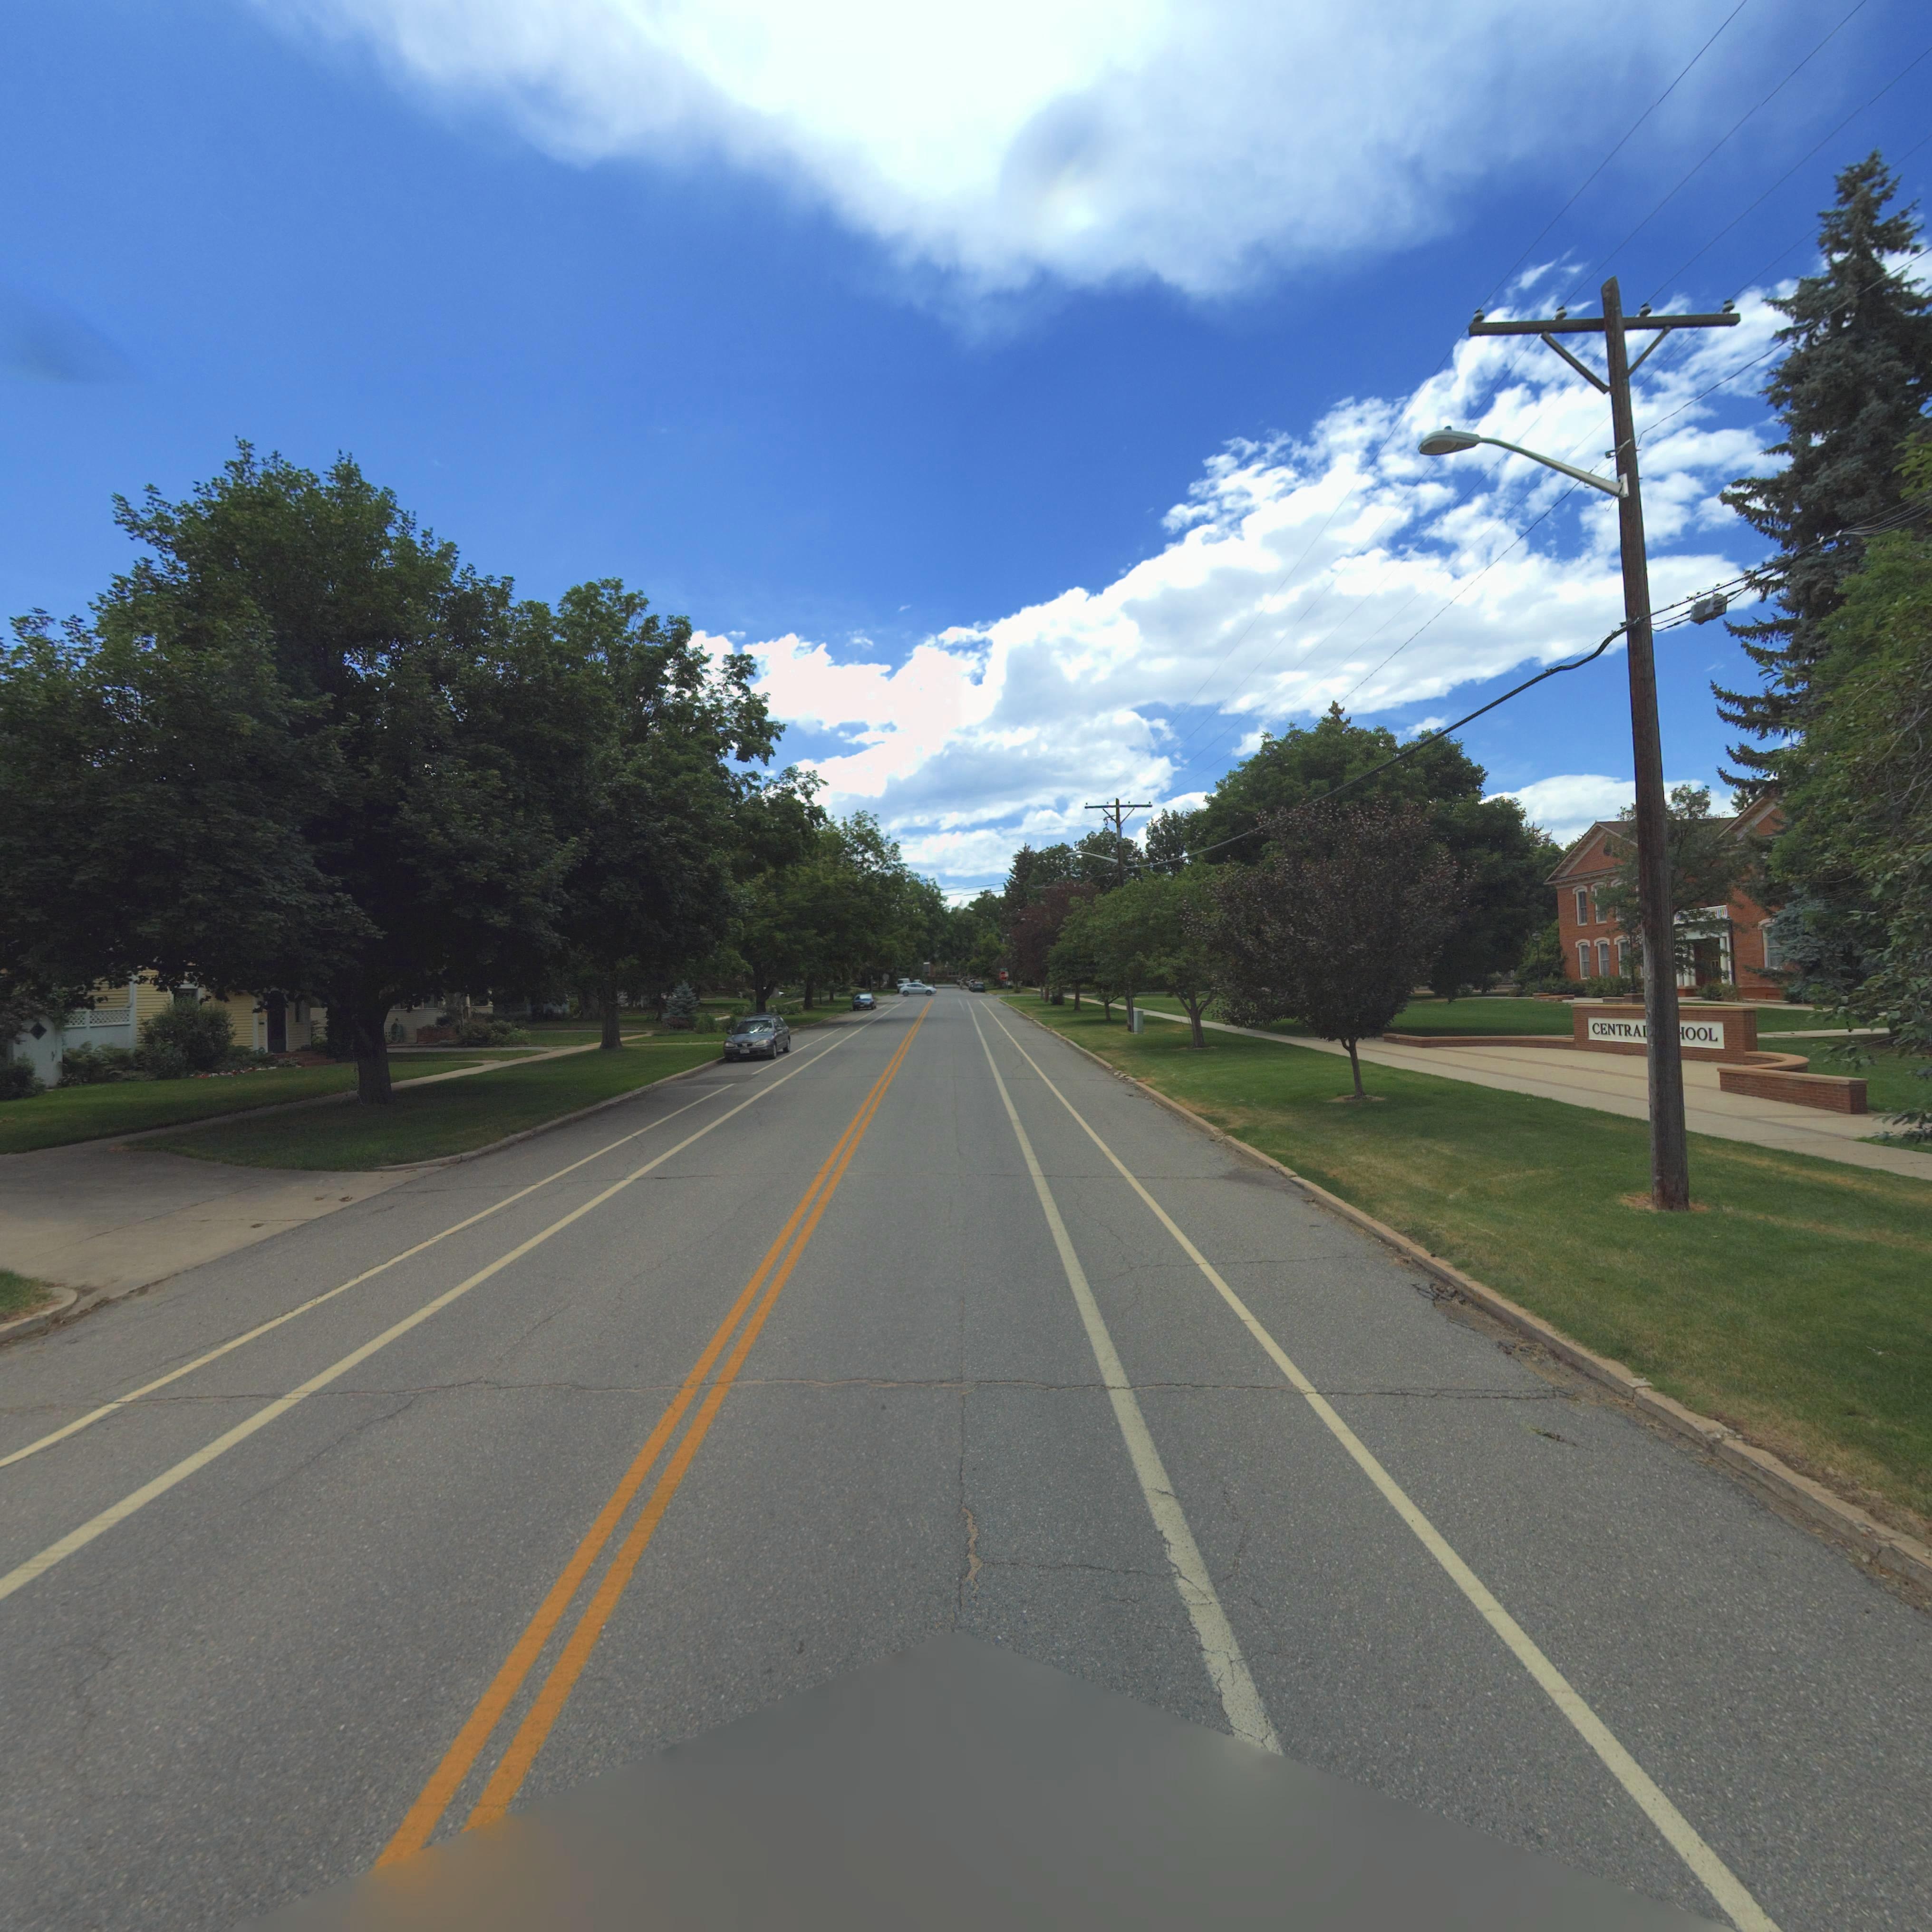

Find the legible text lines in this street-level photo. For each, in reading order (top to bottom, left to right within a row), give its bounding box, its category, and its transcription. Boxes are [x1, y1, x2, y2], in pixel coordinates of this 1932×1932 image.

[1592, 1022, 1718, 1042] BusinessName: CENTRA* ***OOL